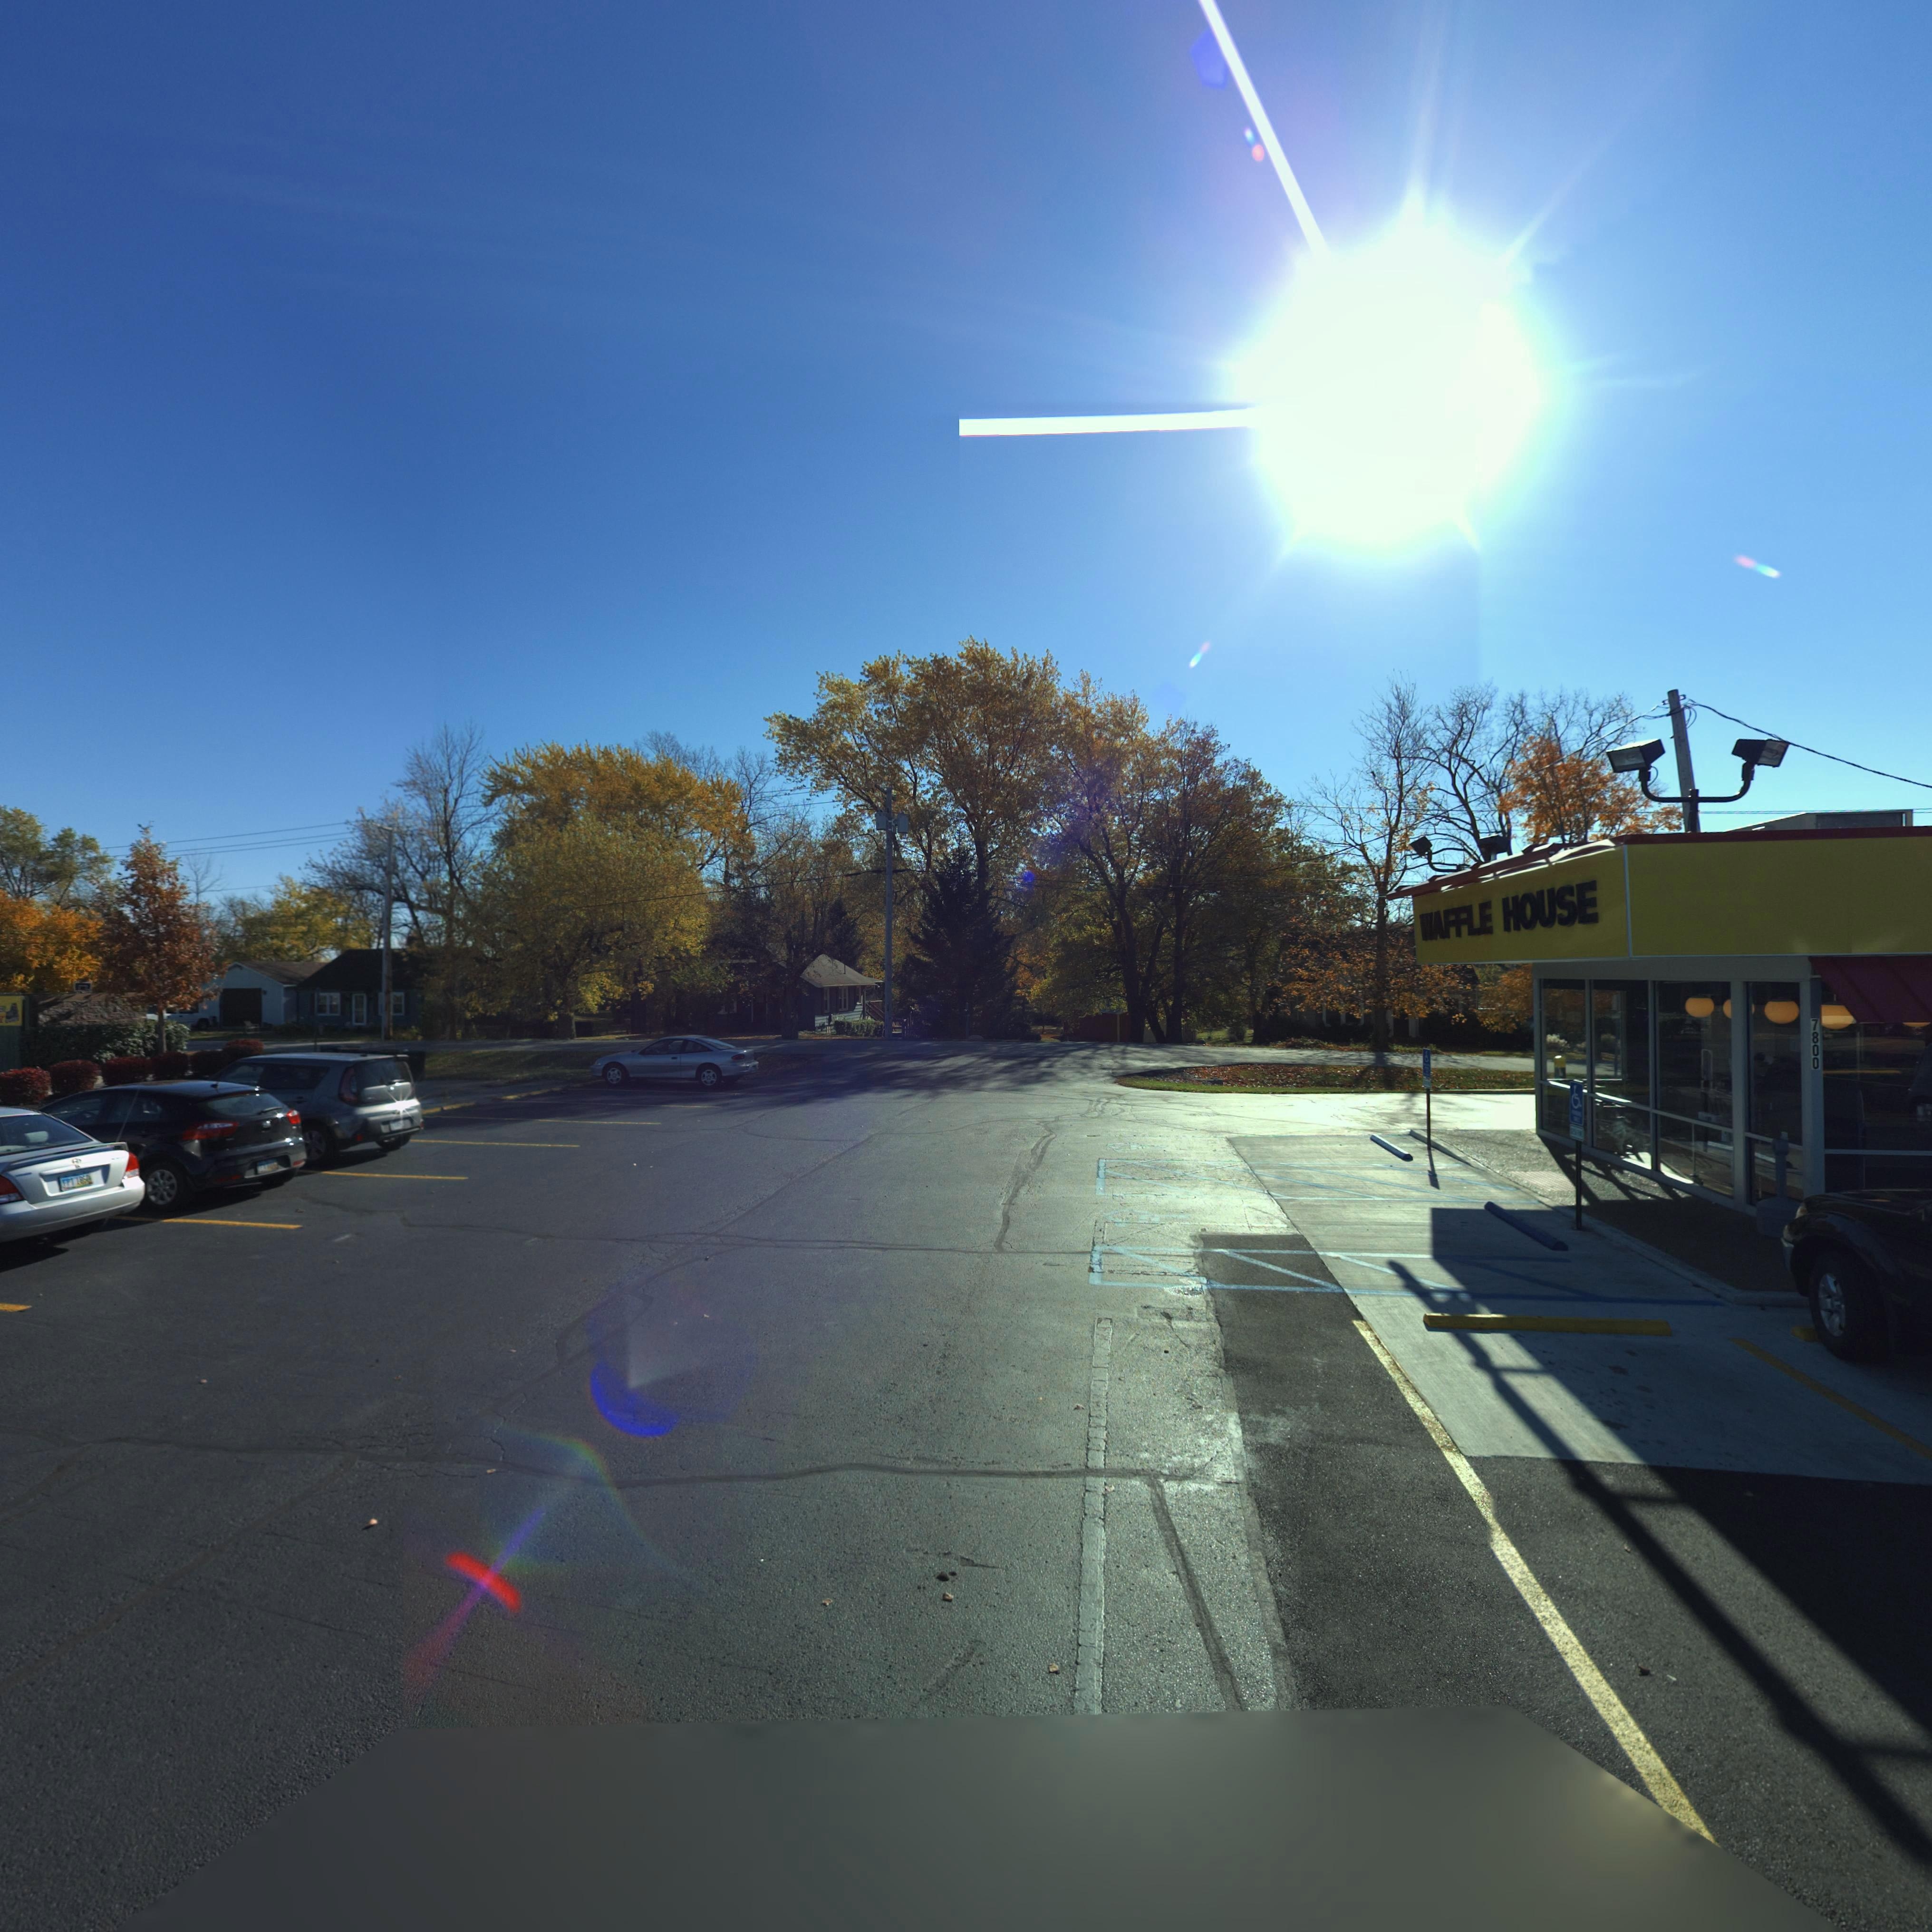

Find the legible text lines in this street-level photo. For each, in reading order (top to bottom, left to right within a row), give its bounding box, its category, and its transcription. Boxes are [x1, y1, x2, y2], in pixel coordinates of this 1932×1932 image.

[1811, 1018, 1820, 1070] StreetNumber: 7800